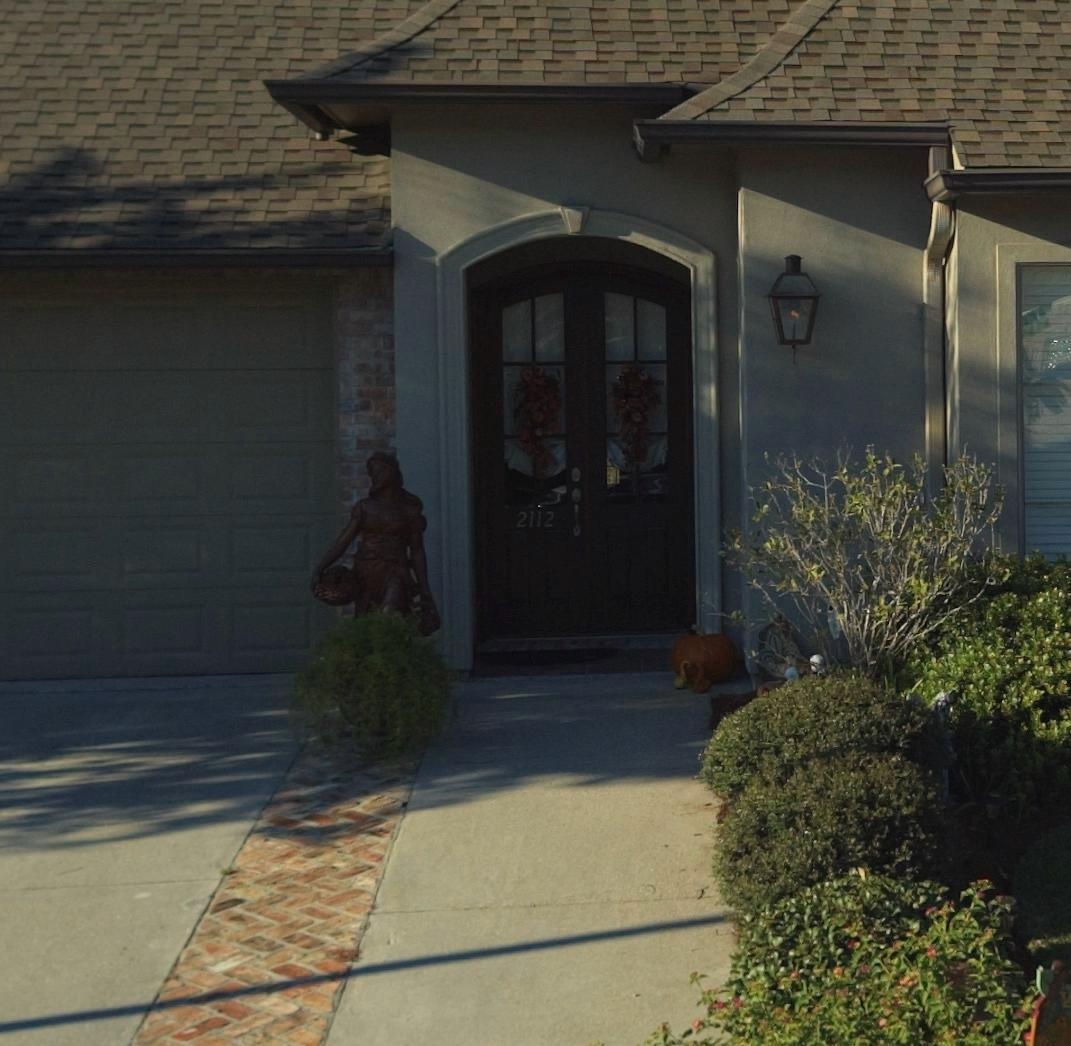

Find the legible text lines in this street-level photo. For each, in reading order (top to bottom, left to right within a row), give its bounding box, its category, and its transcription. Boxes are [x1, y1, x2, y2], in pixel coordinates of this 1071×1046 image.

[515, 508, 556, 530] StreetNumber: 2112